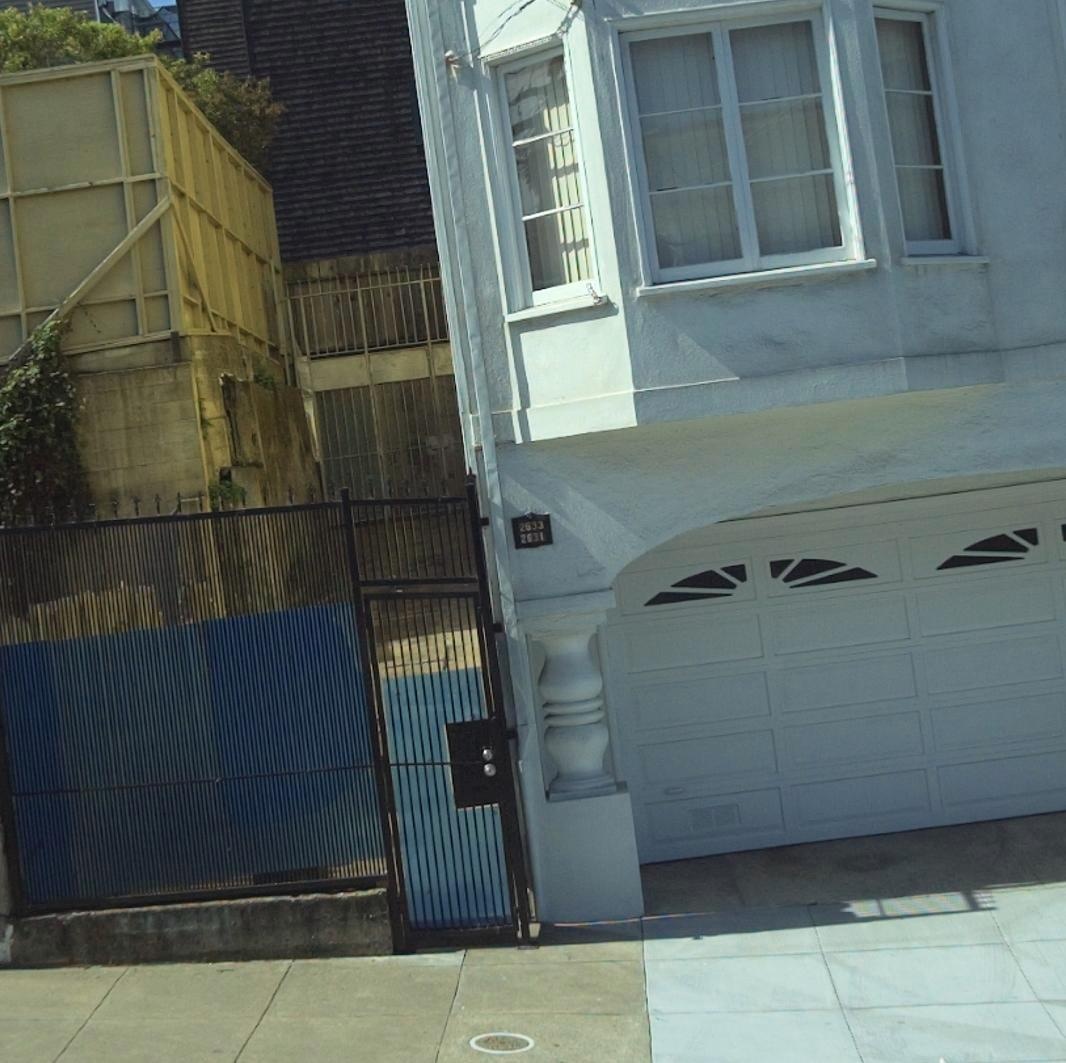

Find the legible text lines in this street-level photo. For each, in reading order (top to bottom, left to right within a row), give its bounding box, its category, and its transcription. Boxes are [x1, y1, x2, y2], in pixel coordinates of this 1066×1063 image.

[517, 518, 547, 532] StreetNumber: 2633
[518, 530, 545, 546] StreetNumber: 2631